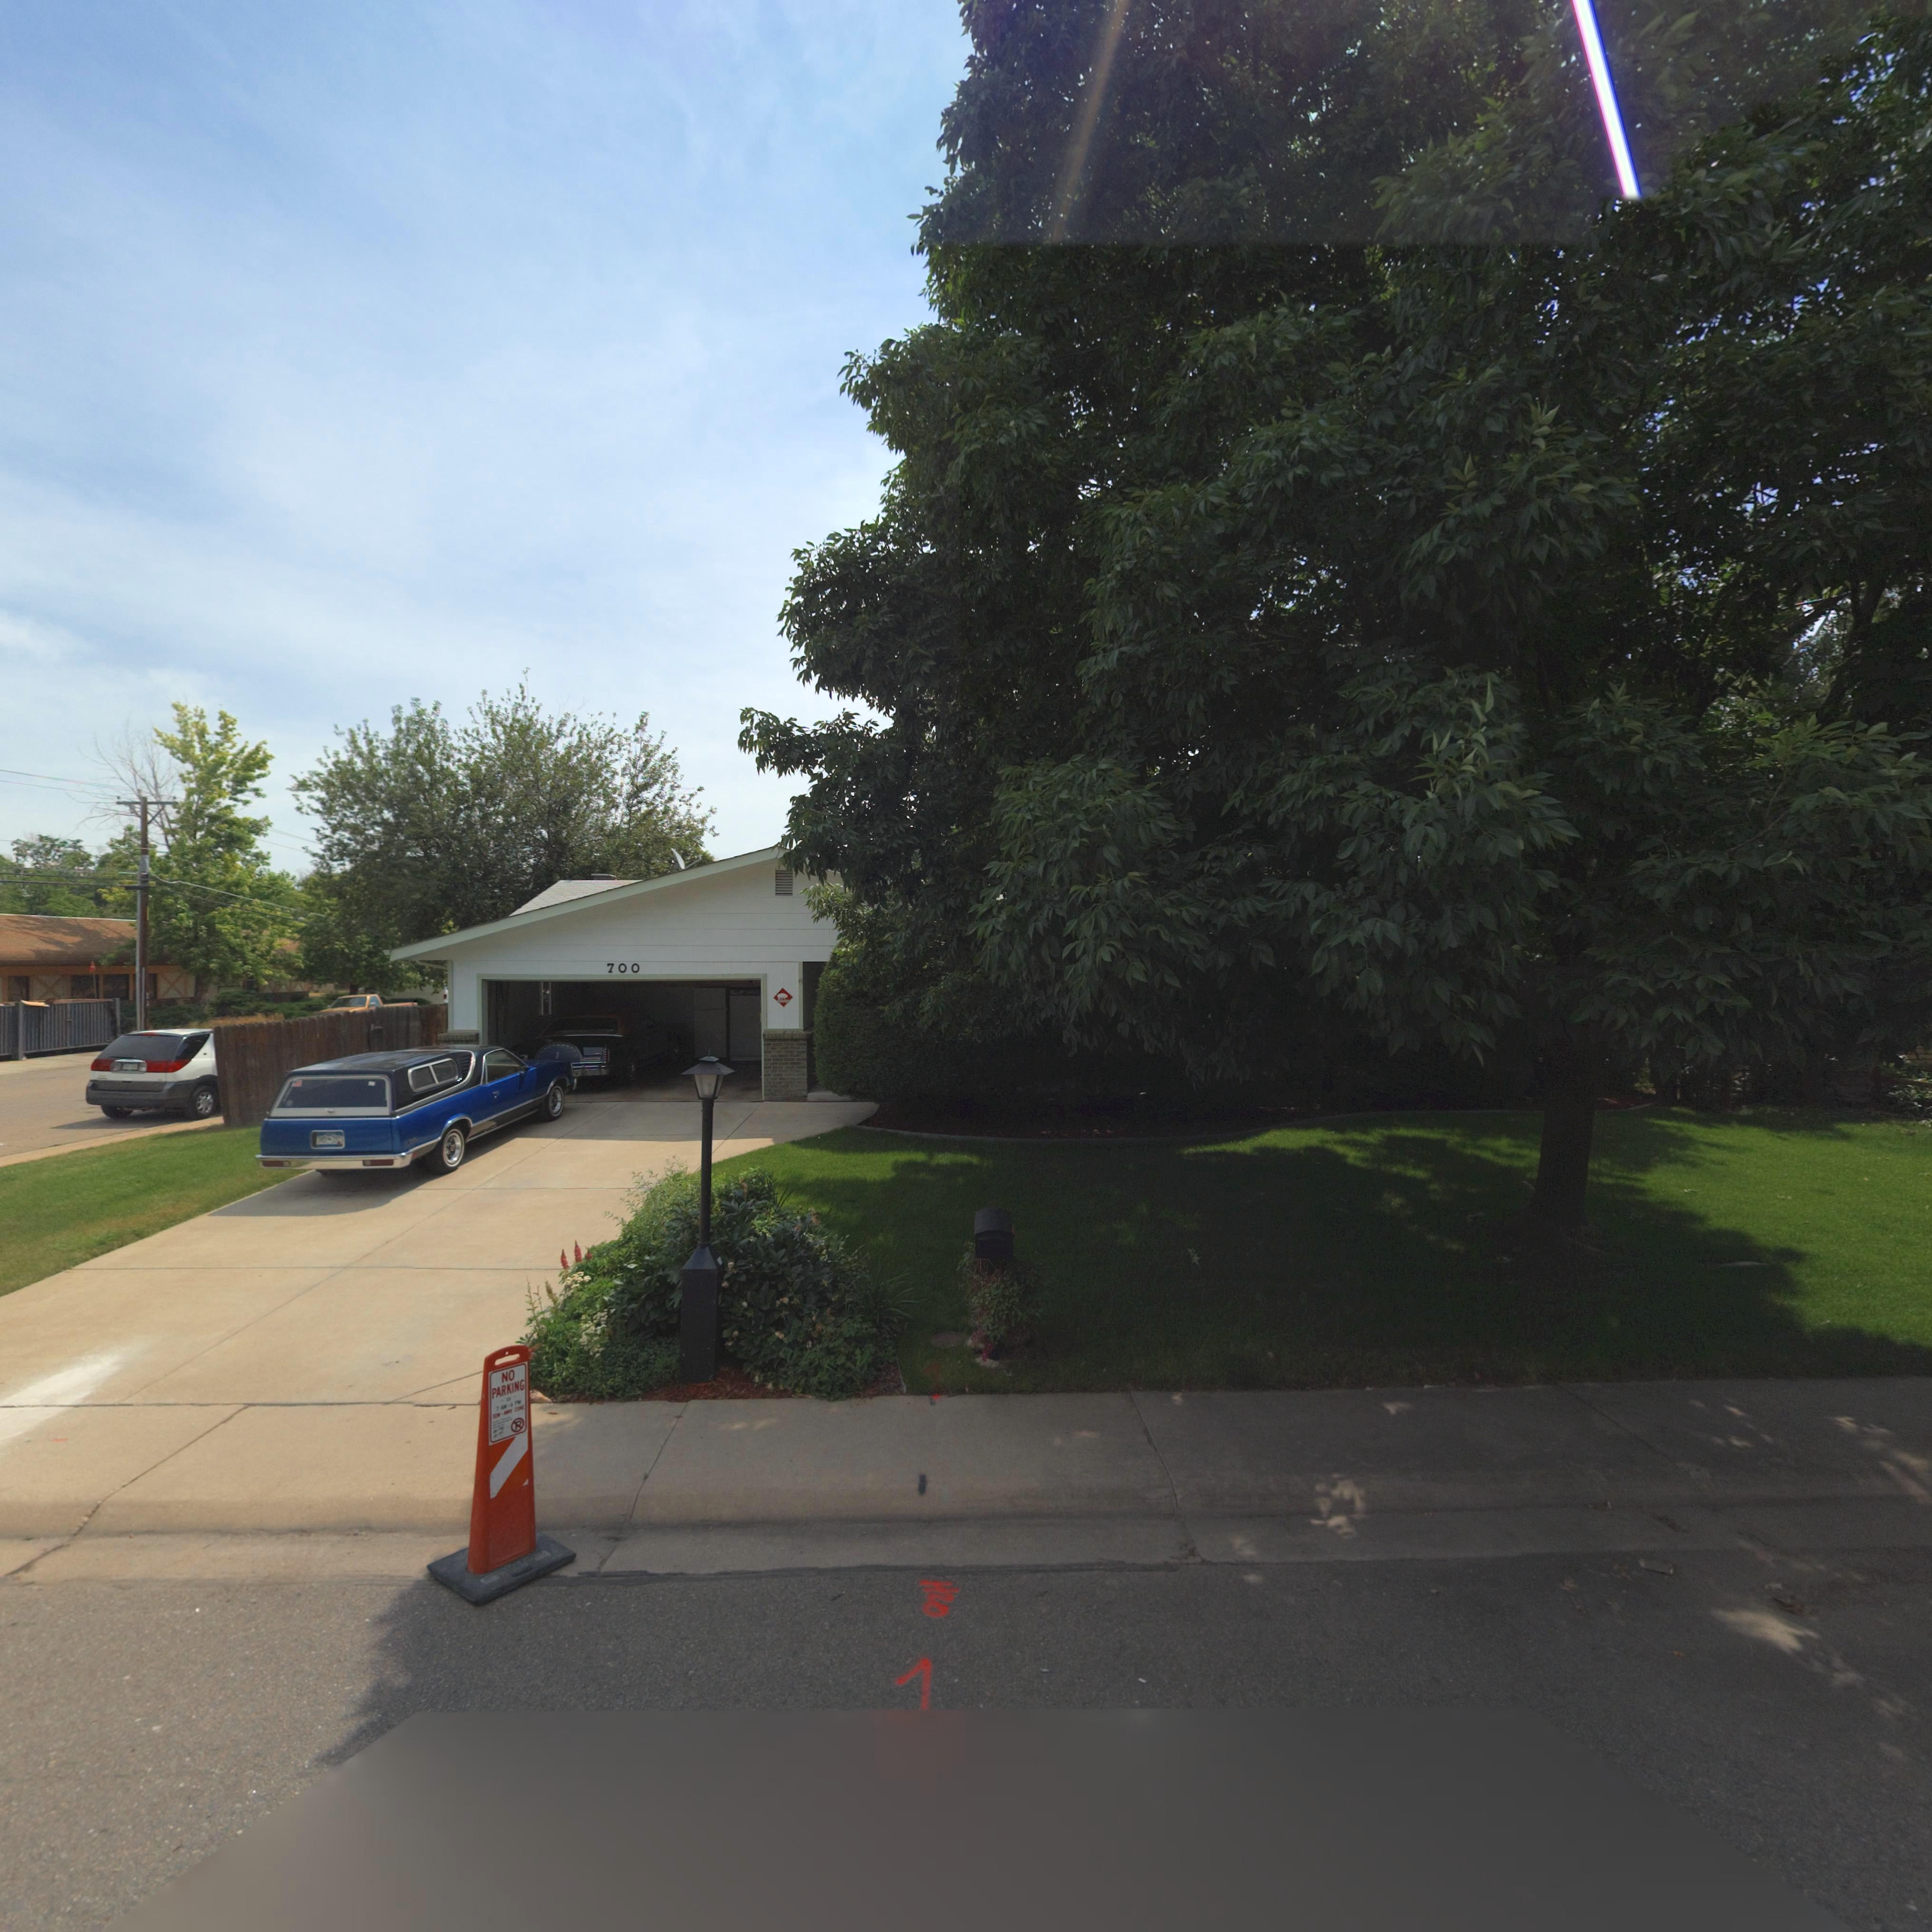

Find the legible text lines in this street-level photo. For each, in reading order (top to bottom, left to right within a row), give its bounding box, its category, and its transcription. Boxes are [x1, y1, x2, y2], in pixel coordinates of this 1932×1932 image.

[607, 963, 639, 973] StreetNumber: 700